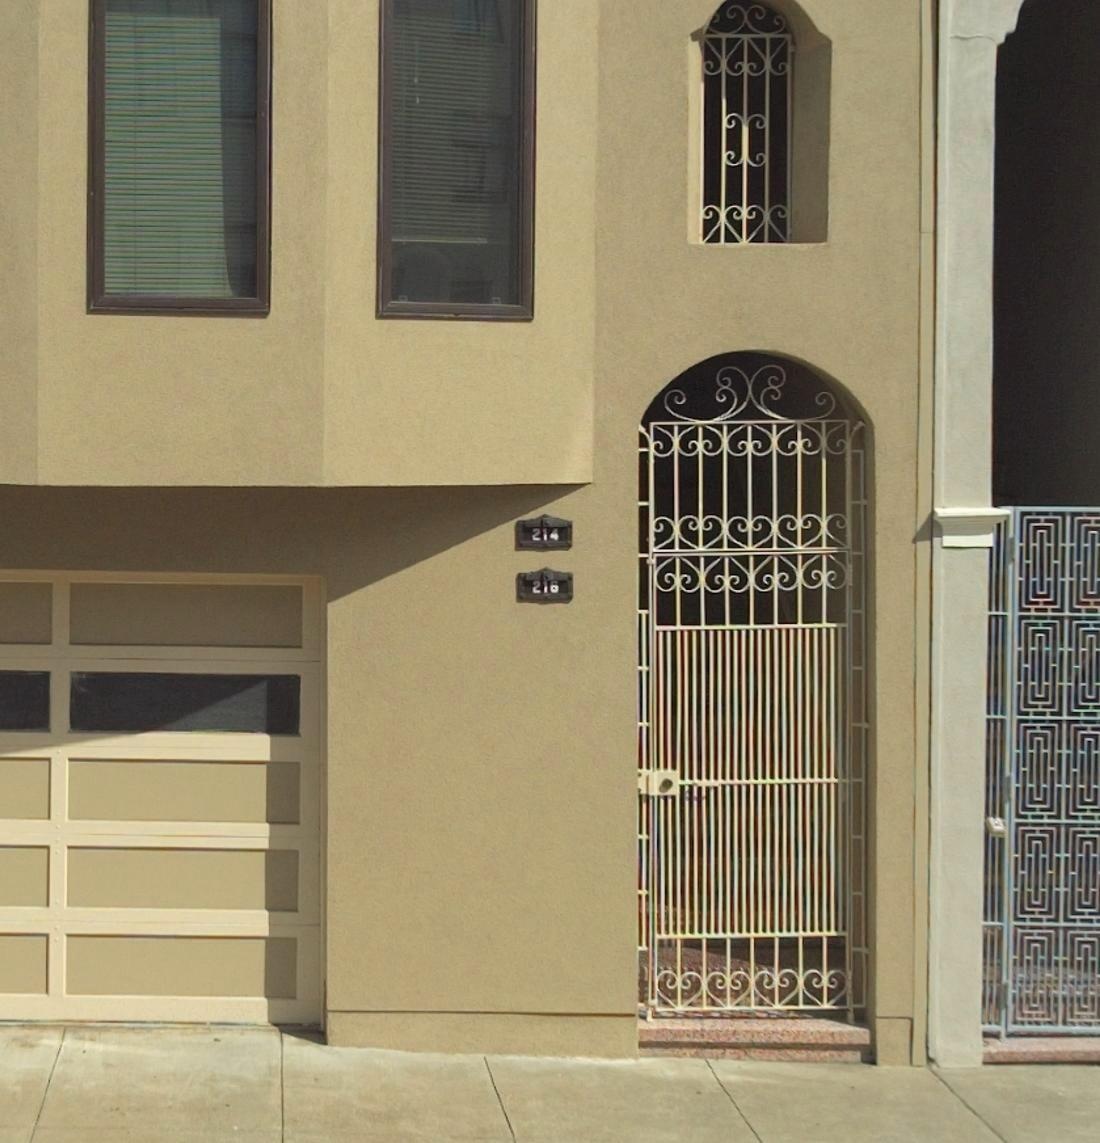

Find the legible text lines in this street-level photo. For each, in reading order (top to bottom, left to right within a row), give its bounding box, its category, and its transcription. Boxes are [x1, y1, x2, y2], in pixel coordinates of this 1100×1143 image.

[530, 525, 561, 544] StreetNumber: 214
[529, 578, 562, 596] StreetNumber: 216